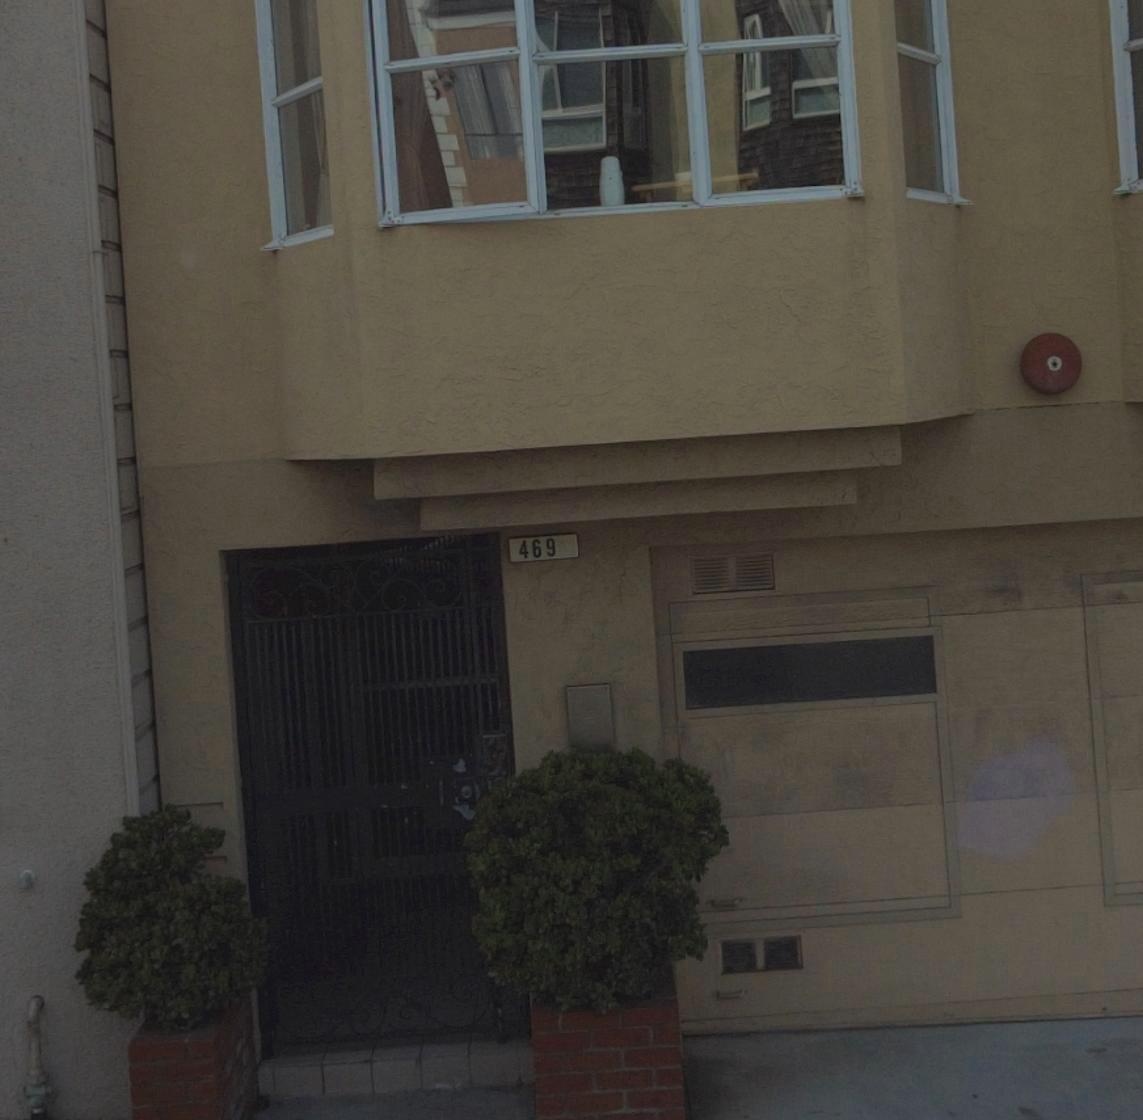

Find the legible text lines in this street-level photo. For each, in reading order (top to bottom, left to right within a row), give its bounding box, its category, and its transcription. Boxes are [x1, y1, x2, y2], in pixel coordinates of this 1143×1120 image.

[516, 537, 559, 561] StreetNumber: 469